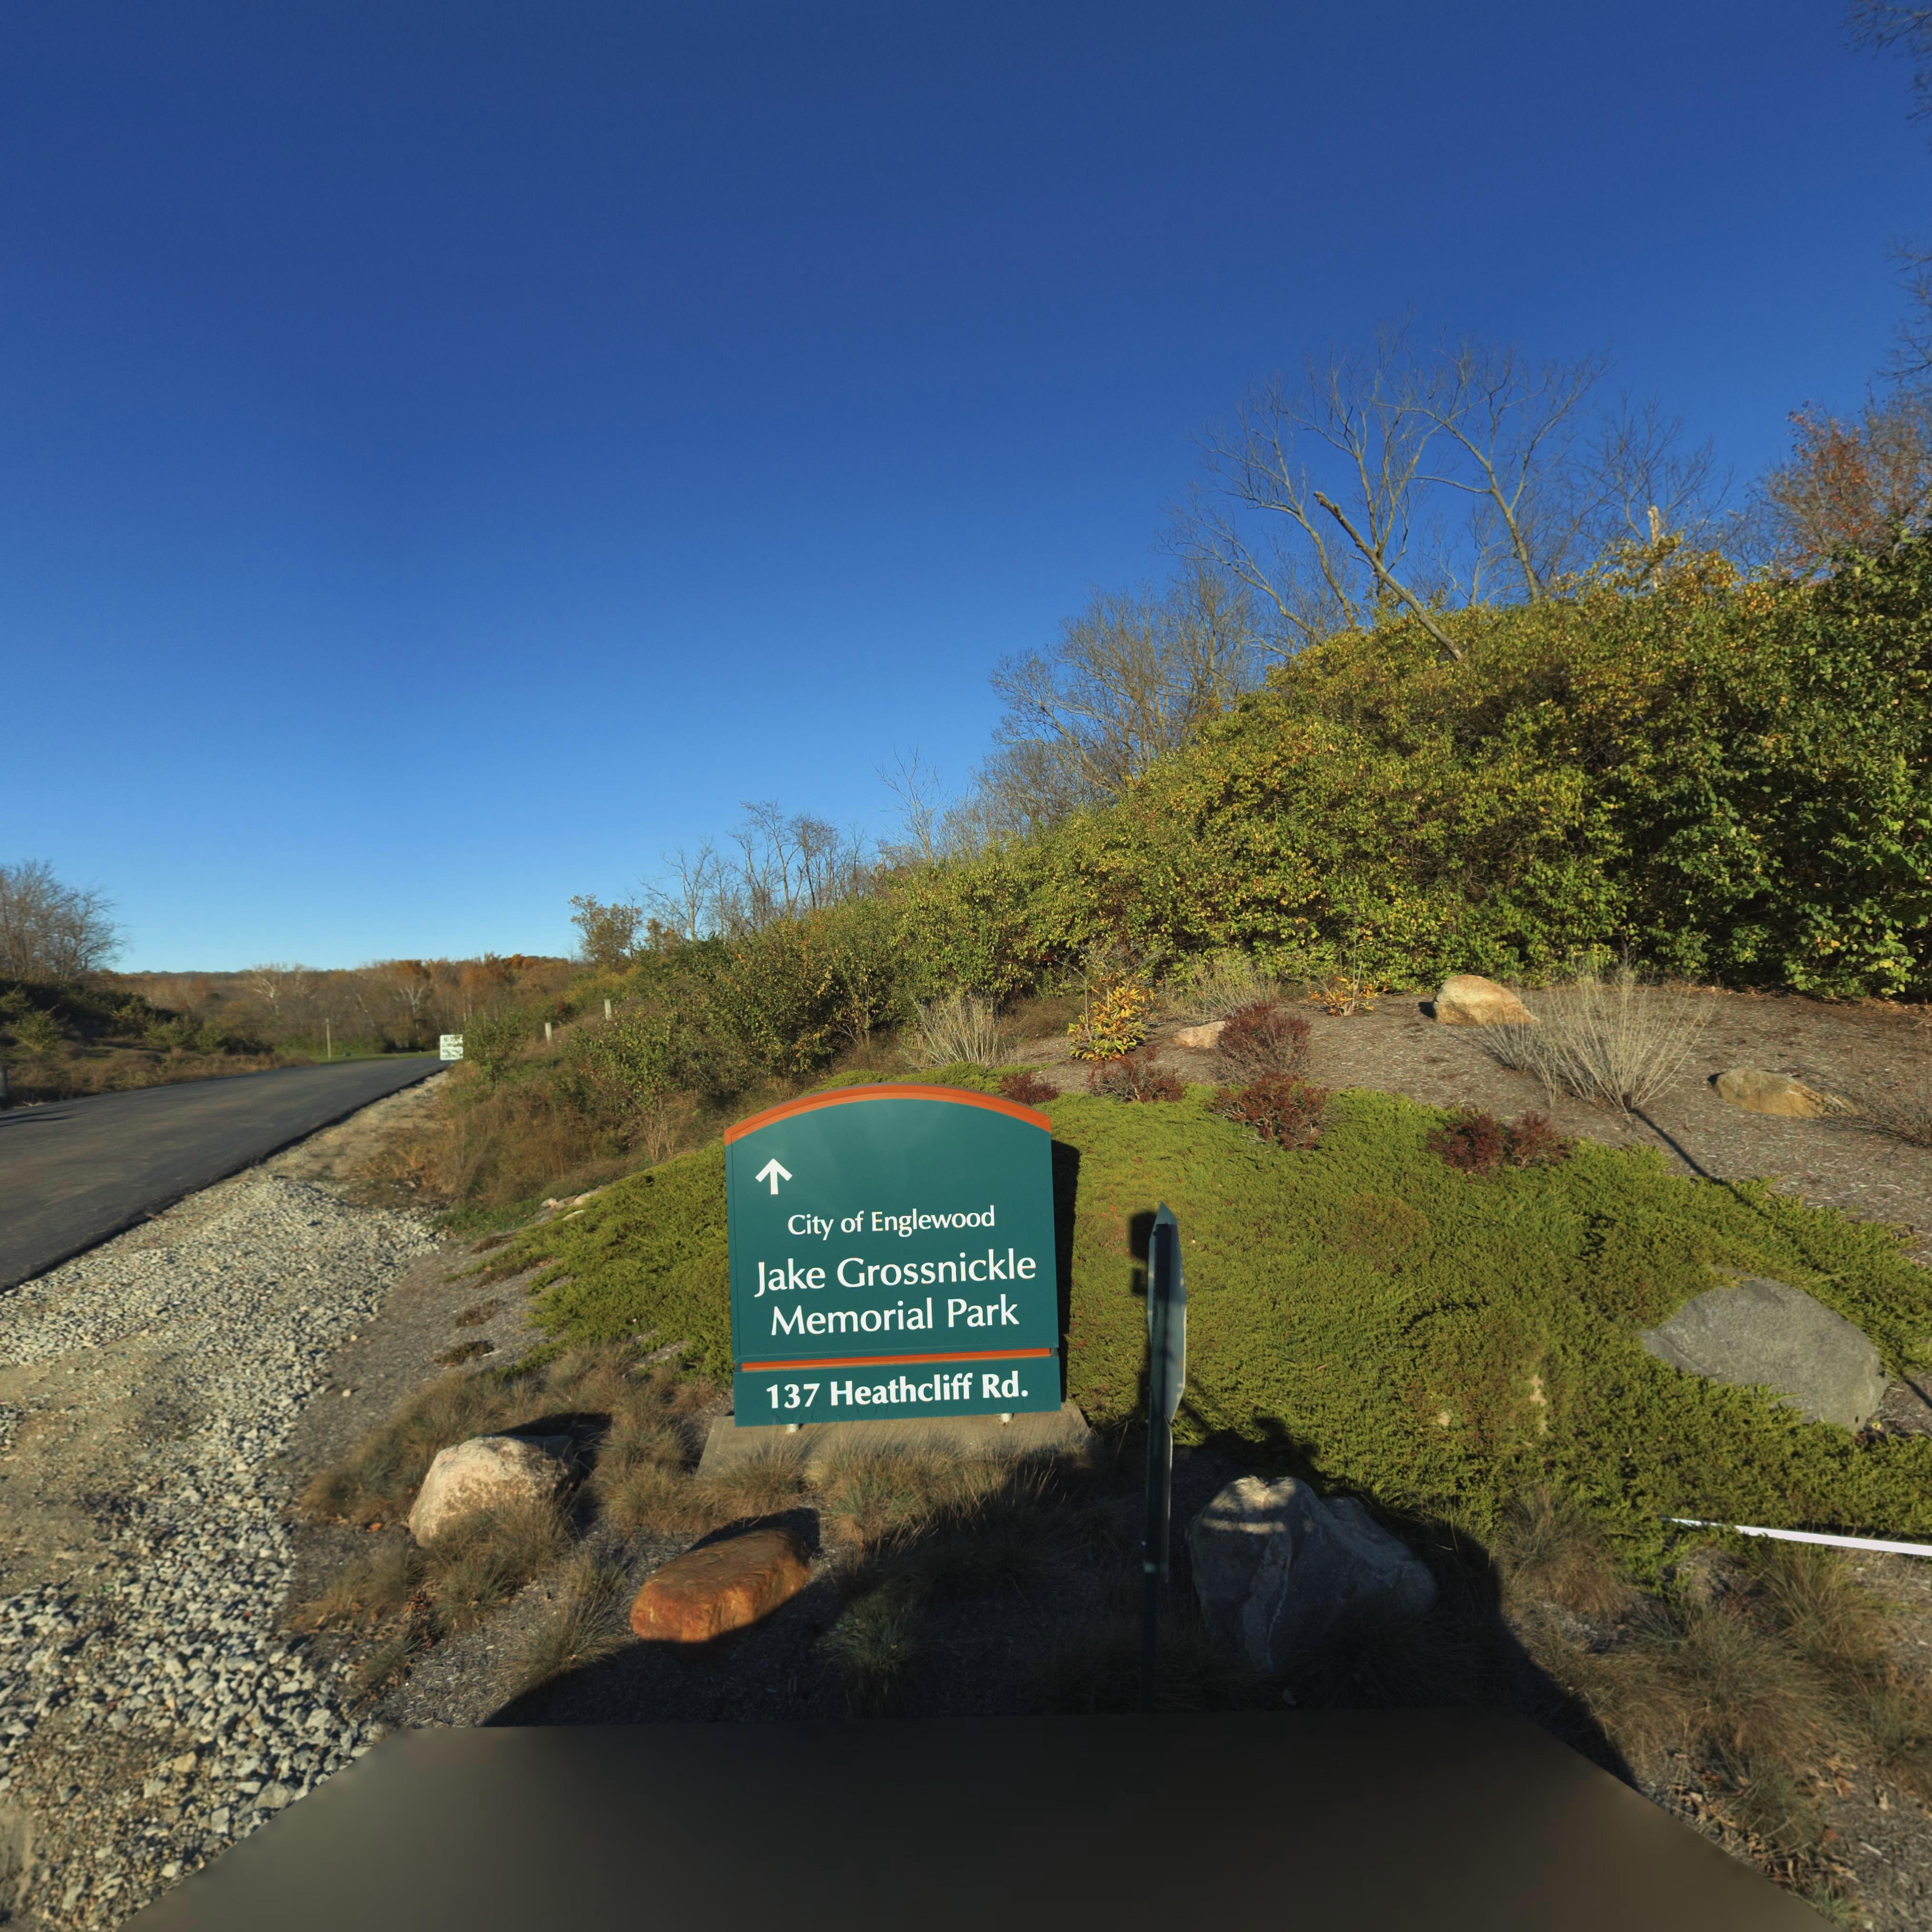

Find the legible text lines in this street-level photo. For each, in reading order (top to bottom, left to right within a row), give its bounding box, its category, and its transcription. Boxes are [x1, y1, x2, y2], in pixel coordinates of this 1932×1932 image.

[765, 1381, 822, 1410] StreetNumber: 137